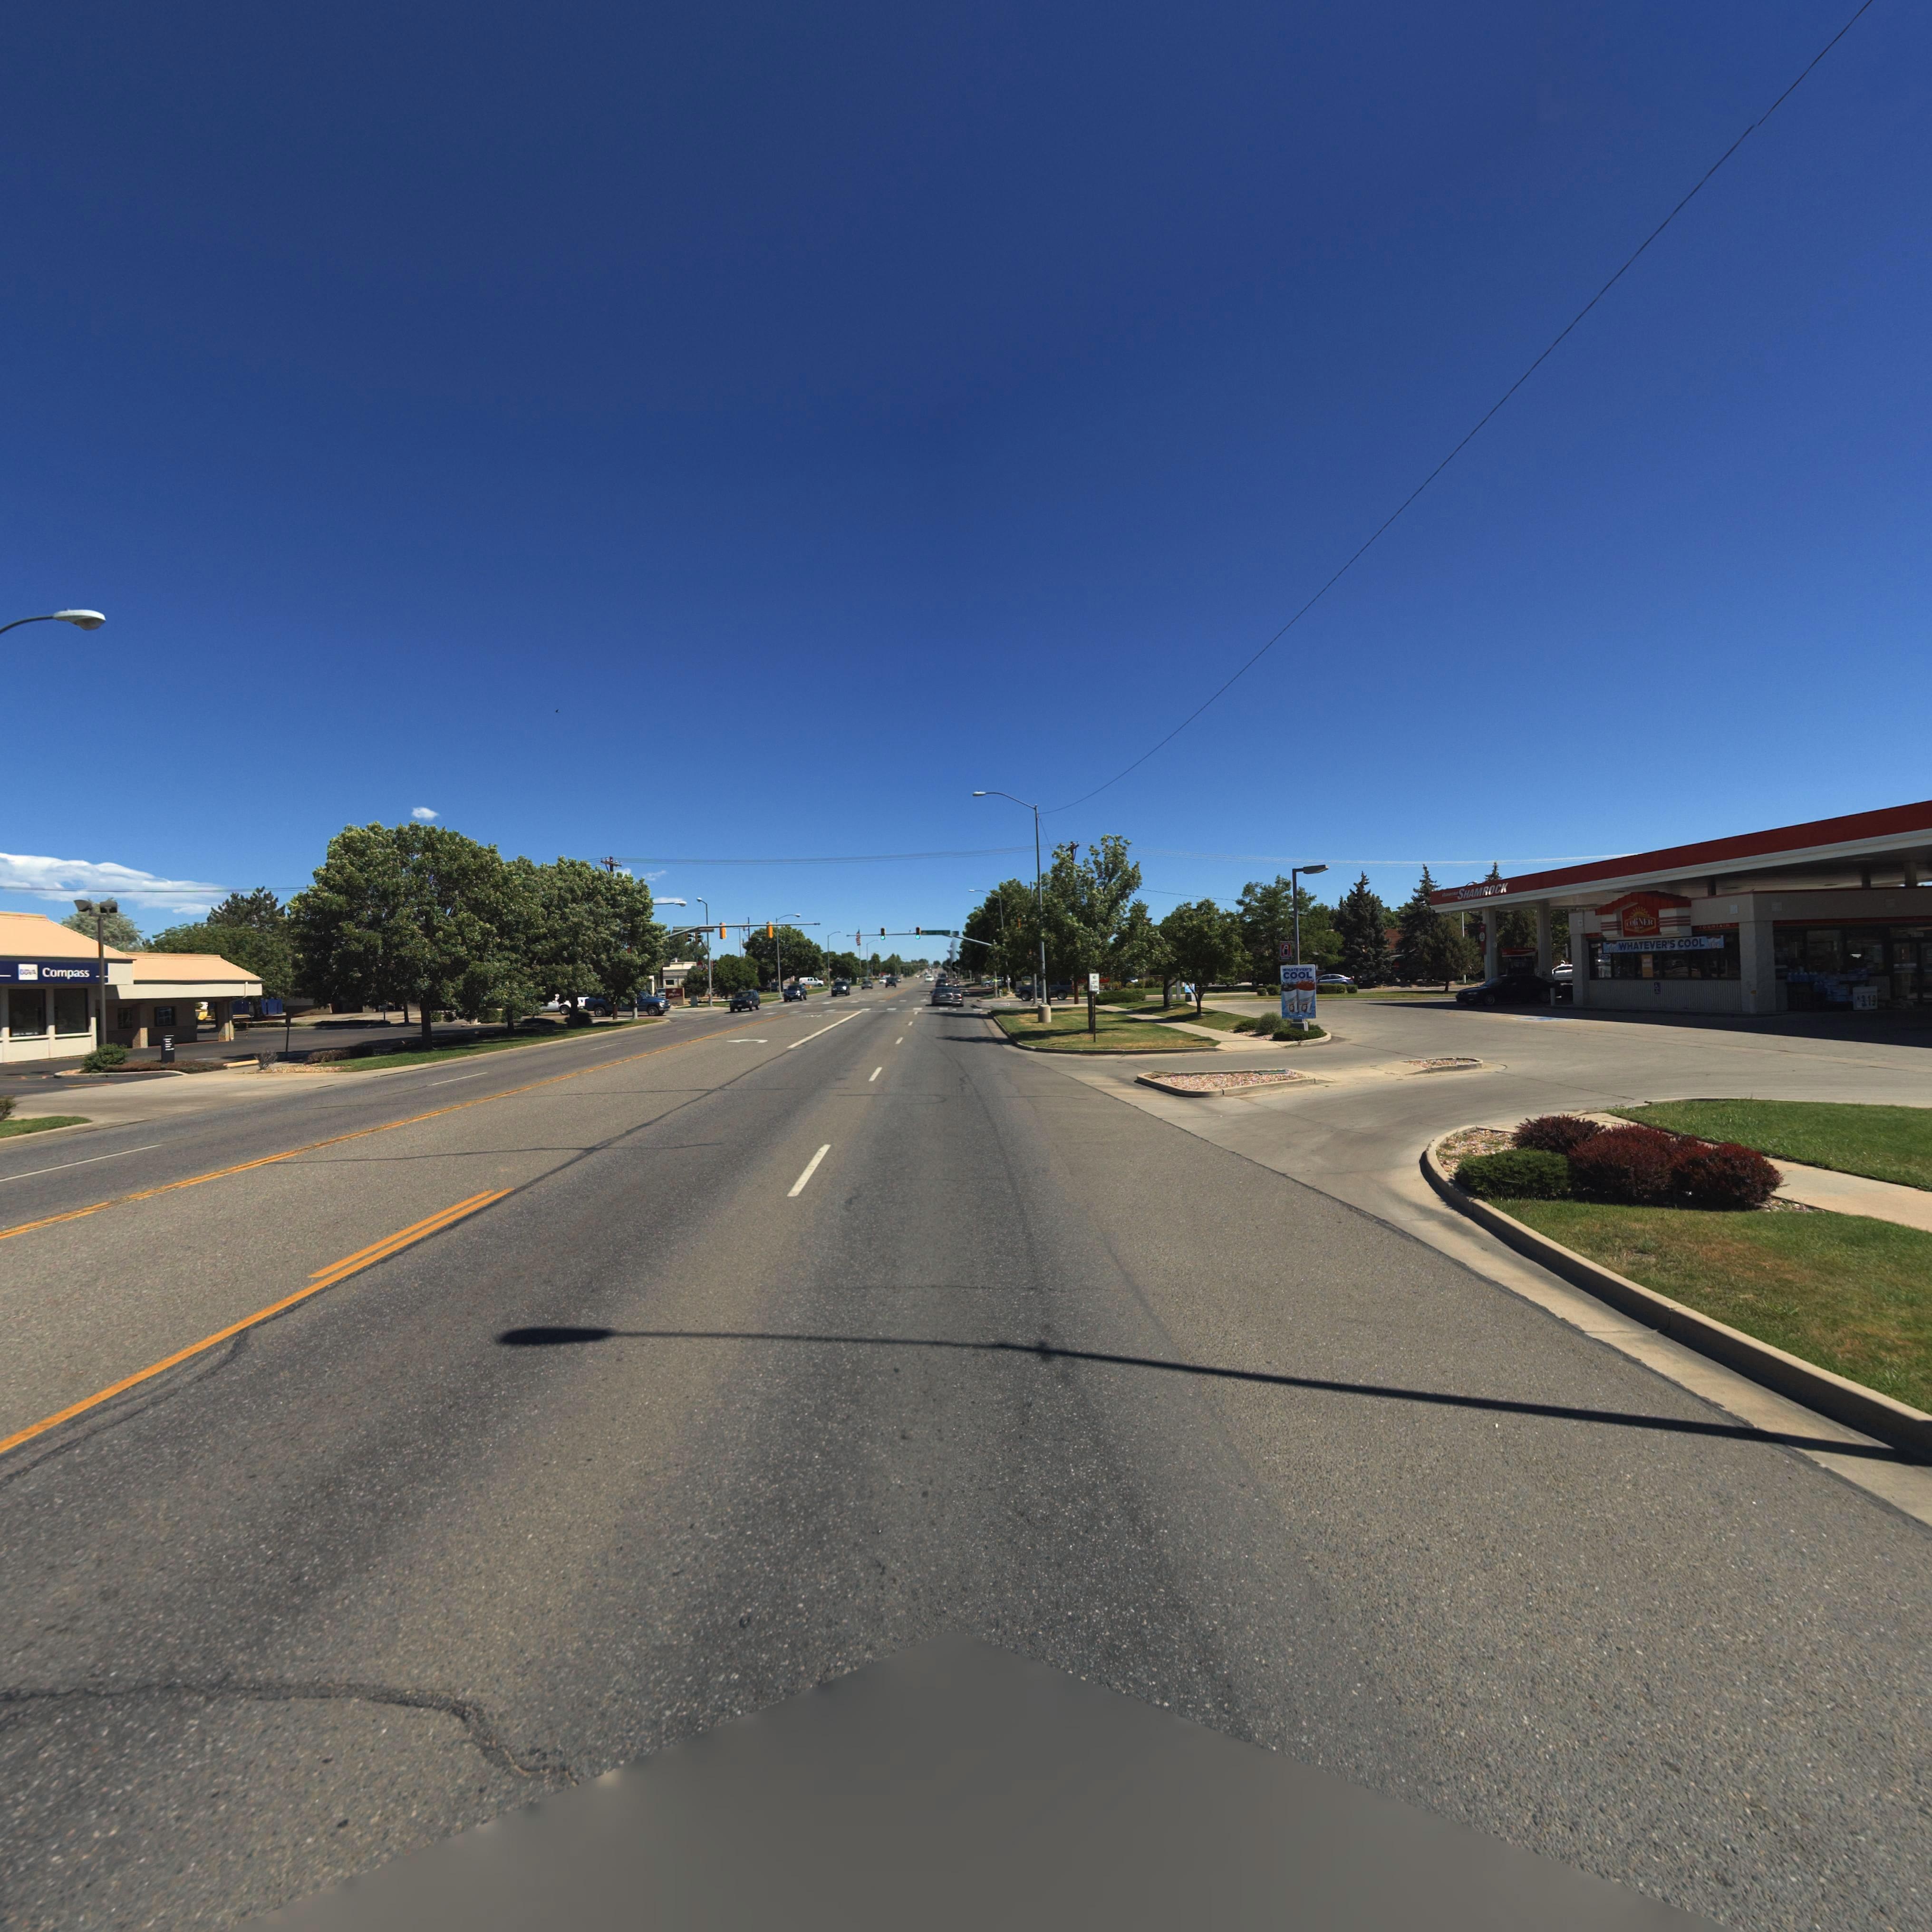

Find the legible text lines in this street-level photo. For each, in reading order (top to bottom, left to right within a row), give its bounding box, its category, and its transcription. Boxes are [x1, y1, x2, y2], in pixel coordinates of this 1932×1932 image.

[1457, 882, 1509, 900] BusinessName: SHAMROCK
[1626, 917, 1653, 927] BusinessName: CORNER
[1910, 931, 1924, 937] StreetNumber: 11**
[19, 969, 36, 975] BusinessName: B***
[42, 967, 90, 980] BusinessName: Compass
[667, 993, 680, 996] BusinessName: j****l***